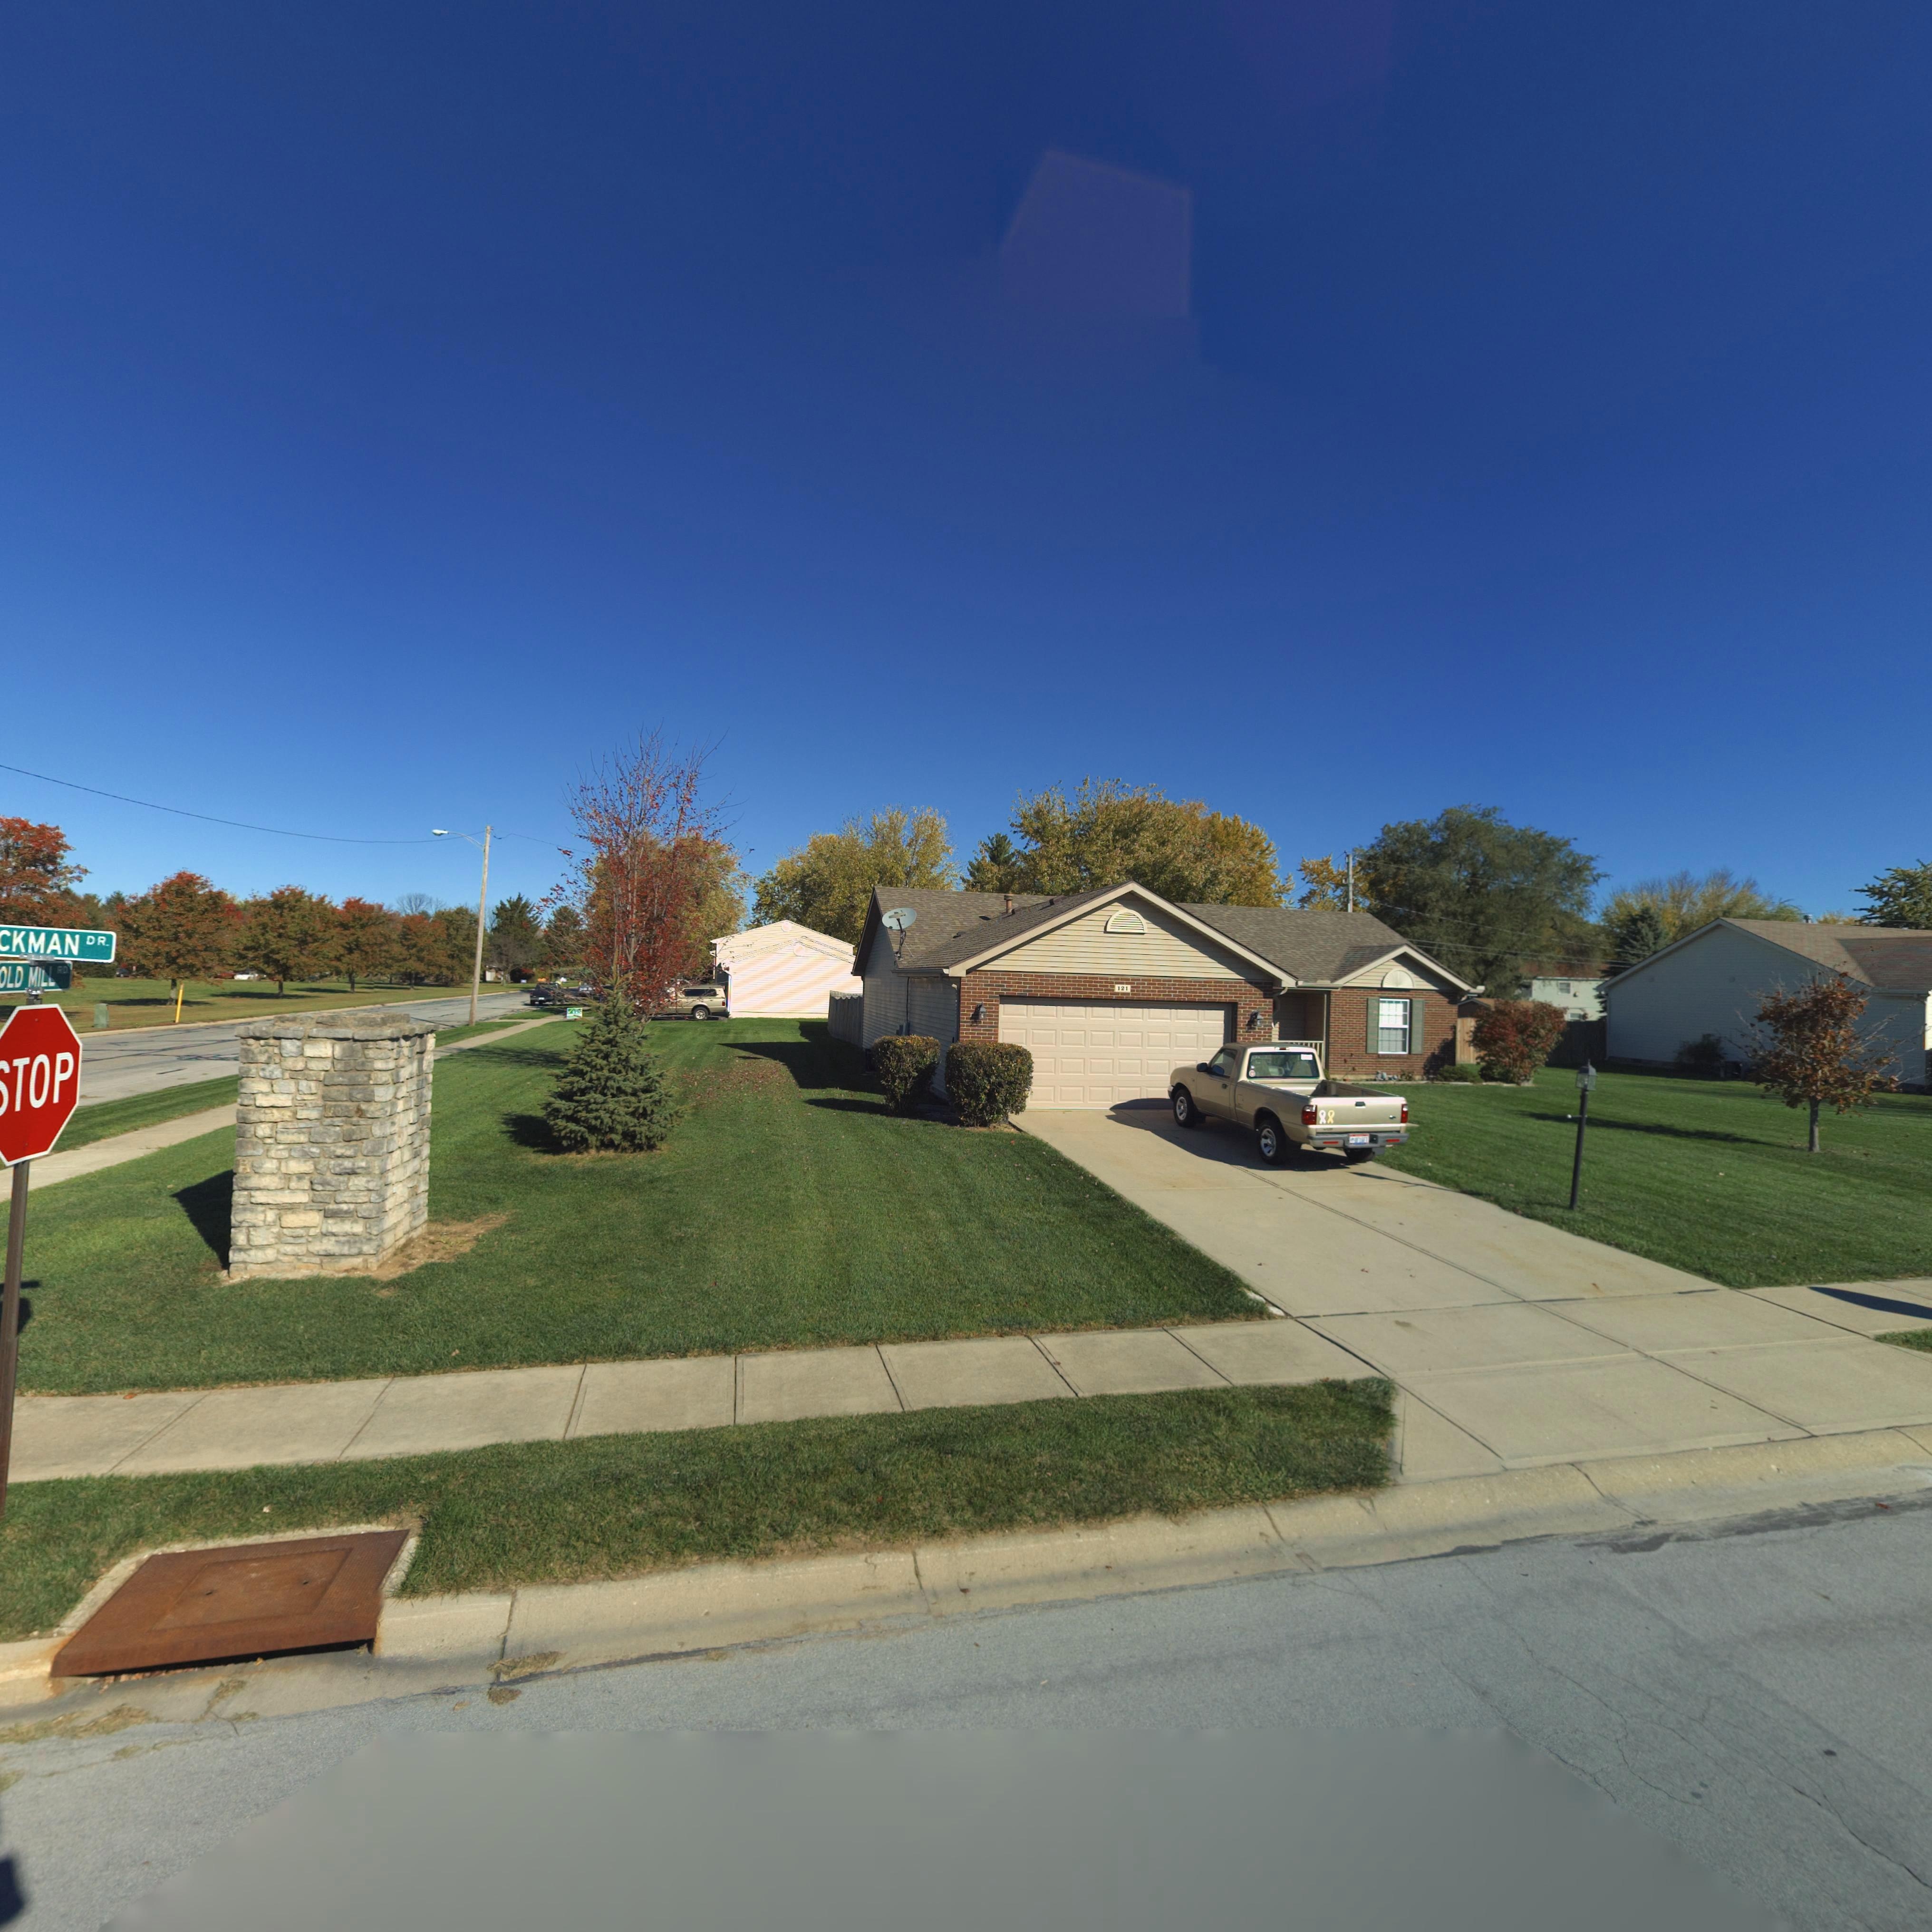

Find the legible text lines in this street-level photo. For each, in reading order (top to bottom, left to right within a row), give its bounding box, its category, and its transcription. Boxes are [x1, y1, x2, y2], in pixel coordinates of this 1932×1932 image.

[5, 927, 83, 961] StreetName: KMAN
[2, 962, 66, 992] StreetName: OLD MILL
[1117, 985, 1128, 991] StreetNumber: 121
[0, 1048, 73, 1124] None: STOP